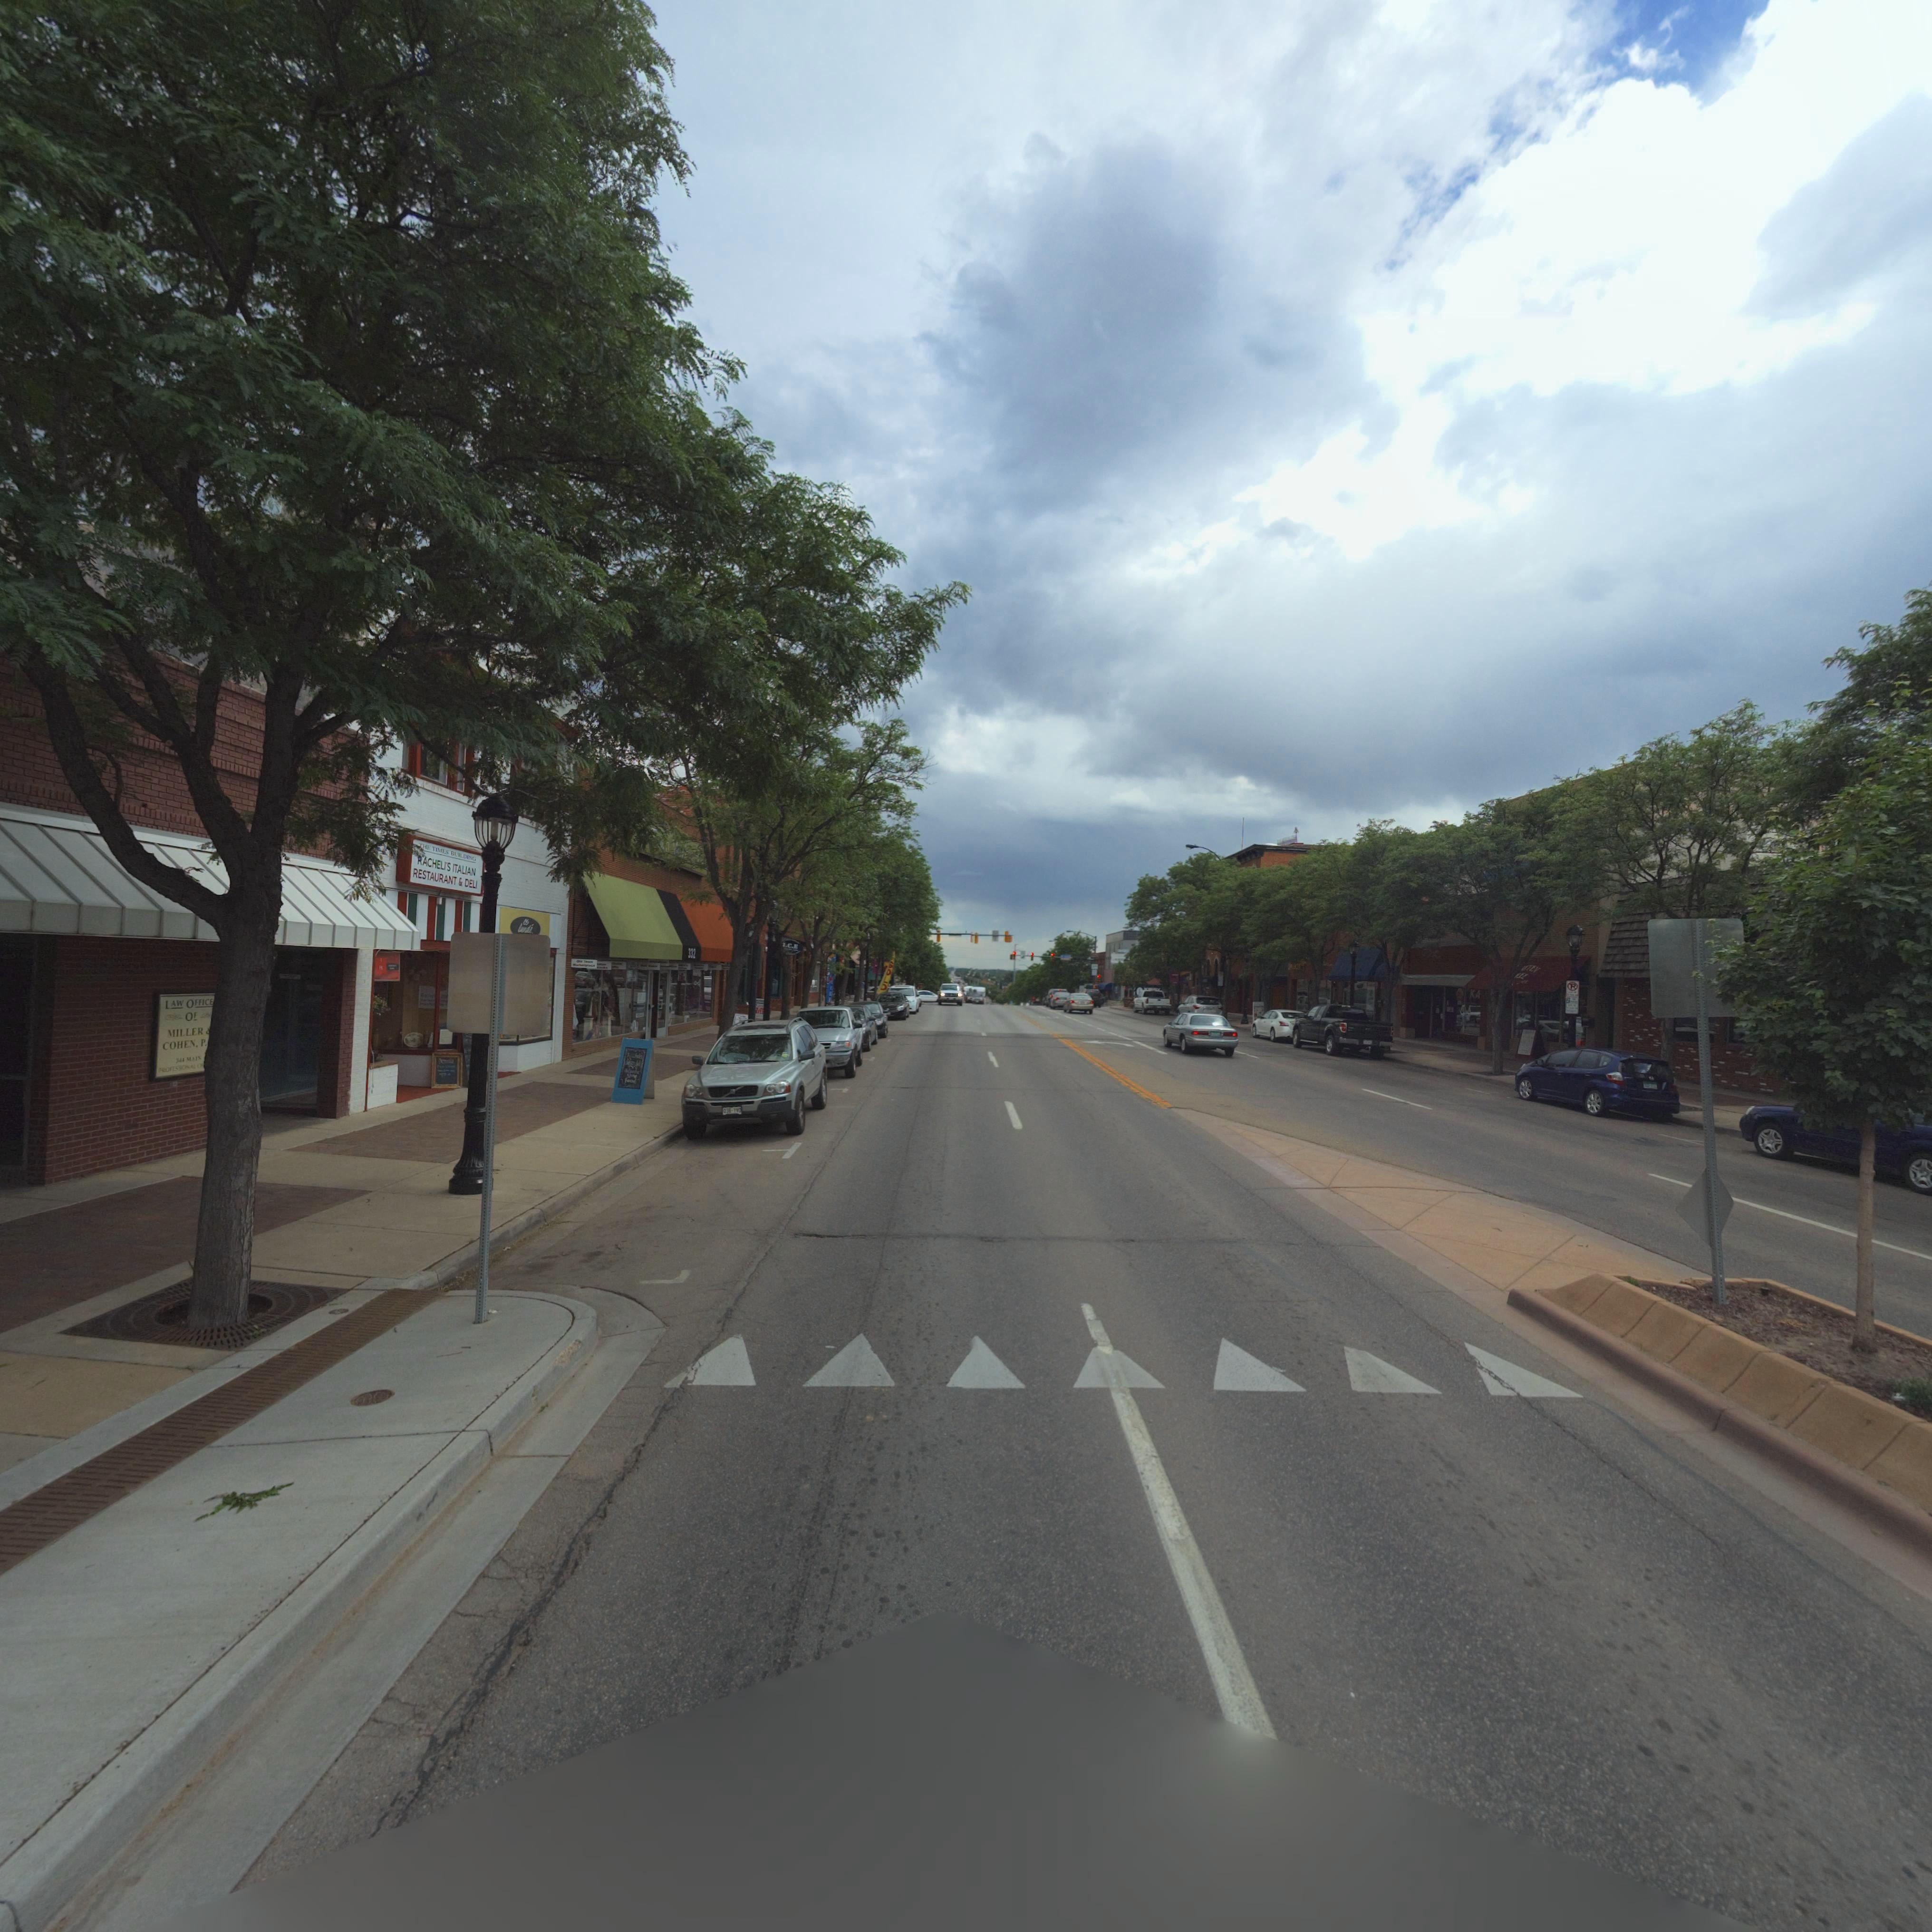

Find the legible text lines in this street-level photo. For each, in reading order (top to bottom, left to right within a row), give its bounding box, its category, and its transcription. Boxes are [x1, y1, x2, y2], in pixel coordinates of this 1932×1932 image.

[417, 854, 476, 877] BusinessName: RACHELI'S ITALIAN
[522, 918, 530, 926] BusinessName: *s
[517, 922, 534, 933] BusinessName: l****
[782, 942, 798, 949] BusinessName: I.C.E
[688, 947, 696, 958] StreetNumber: 332
[573, 963, 595, 967] BusinessName: *********c*
[576, 959, 593, 963] BusinessName: O** T***
[1519, 964, 1542, 973] BusinessName: ***TEN
[1513, 972, 1529, 980] BusinessName: **EE
[165, 998, 215, 1009] BusinessName: LAW OFFICE*
[184, 1012, 198, 1022] BusinessName: OF
[167, 1026, 211, 1038] BusinessName: MILLER *
[162, 1038, 209, 1051] BusinessName: COHEN, P.**
[175, 1057, 184, 1063] StreetNumber: 3**
[186, 1055, 202, 1062] StreetName: MAIN